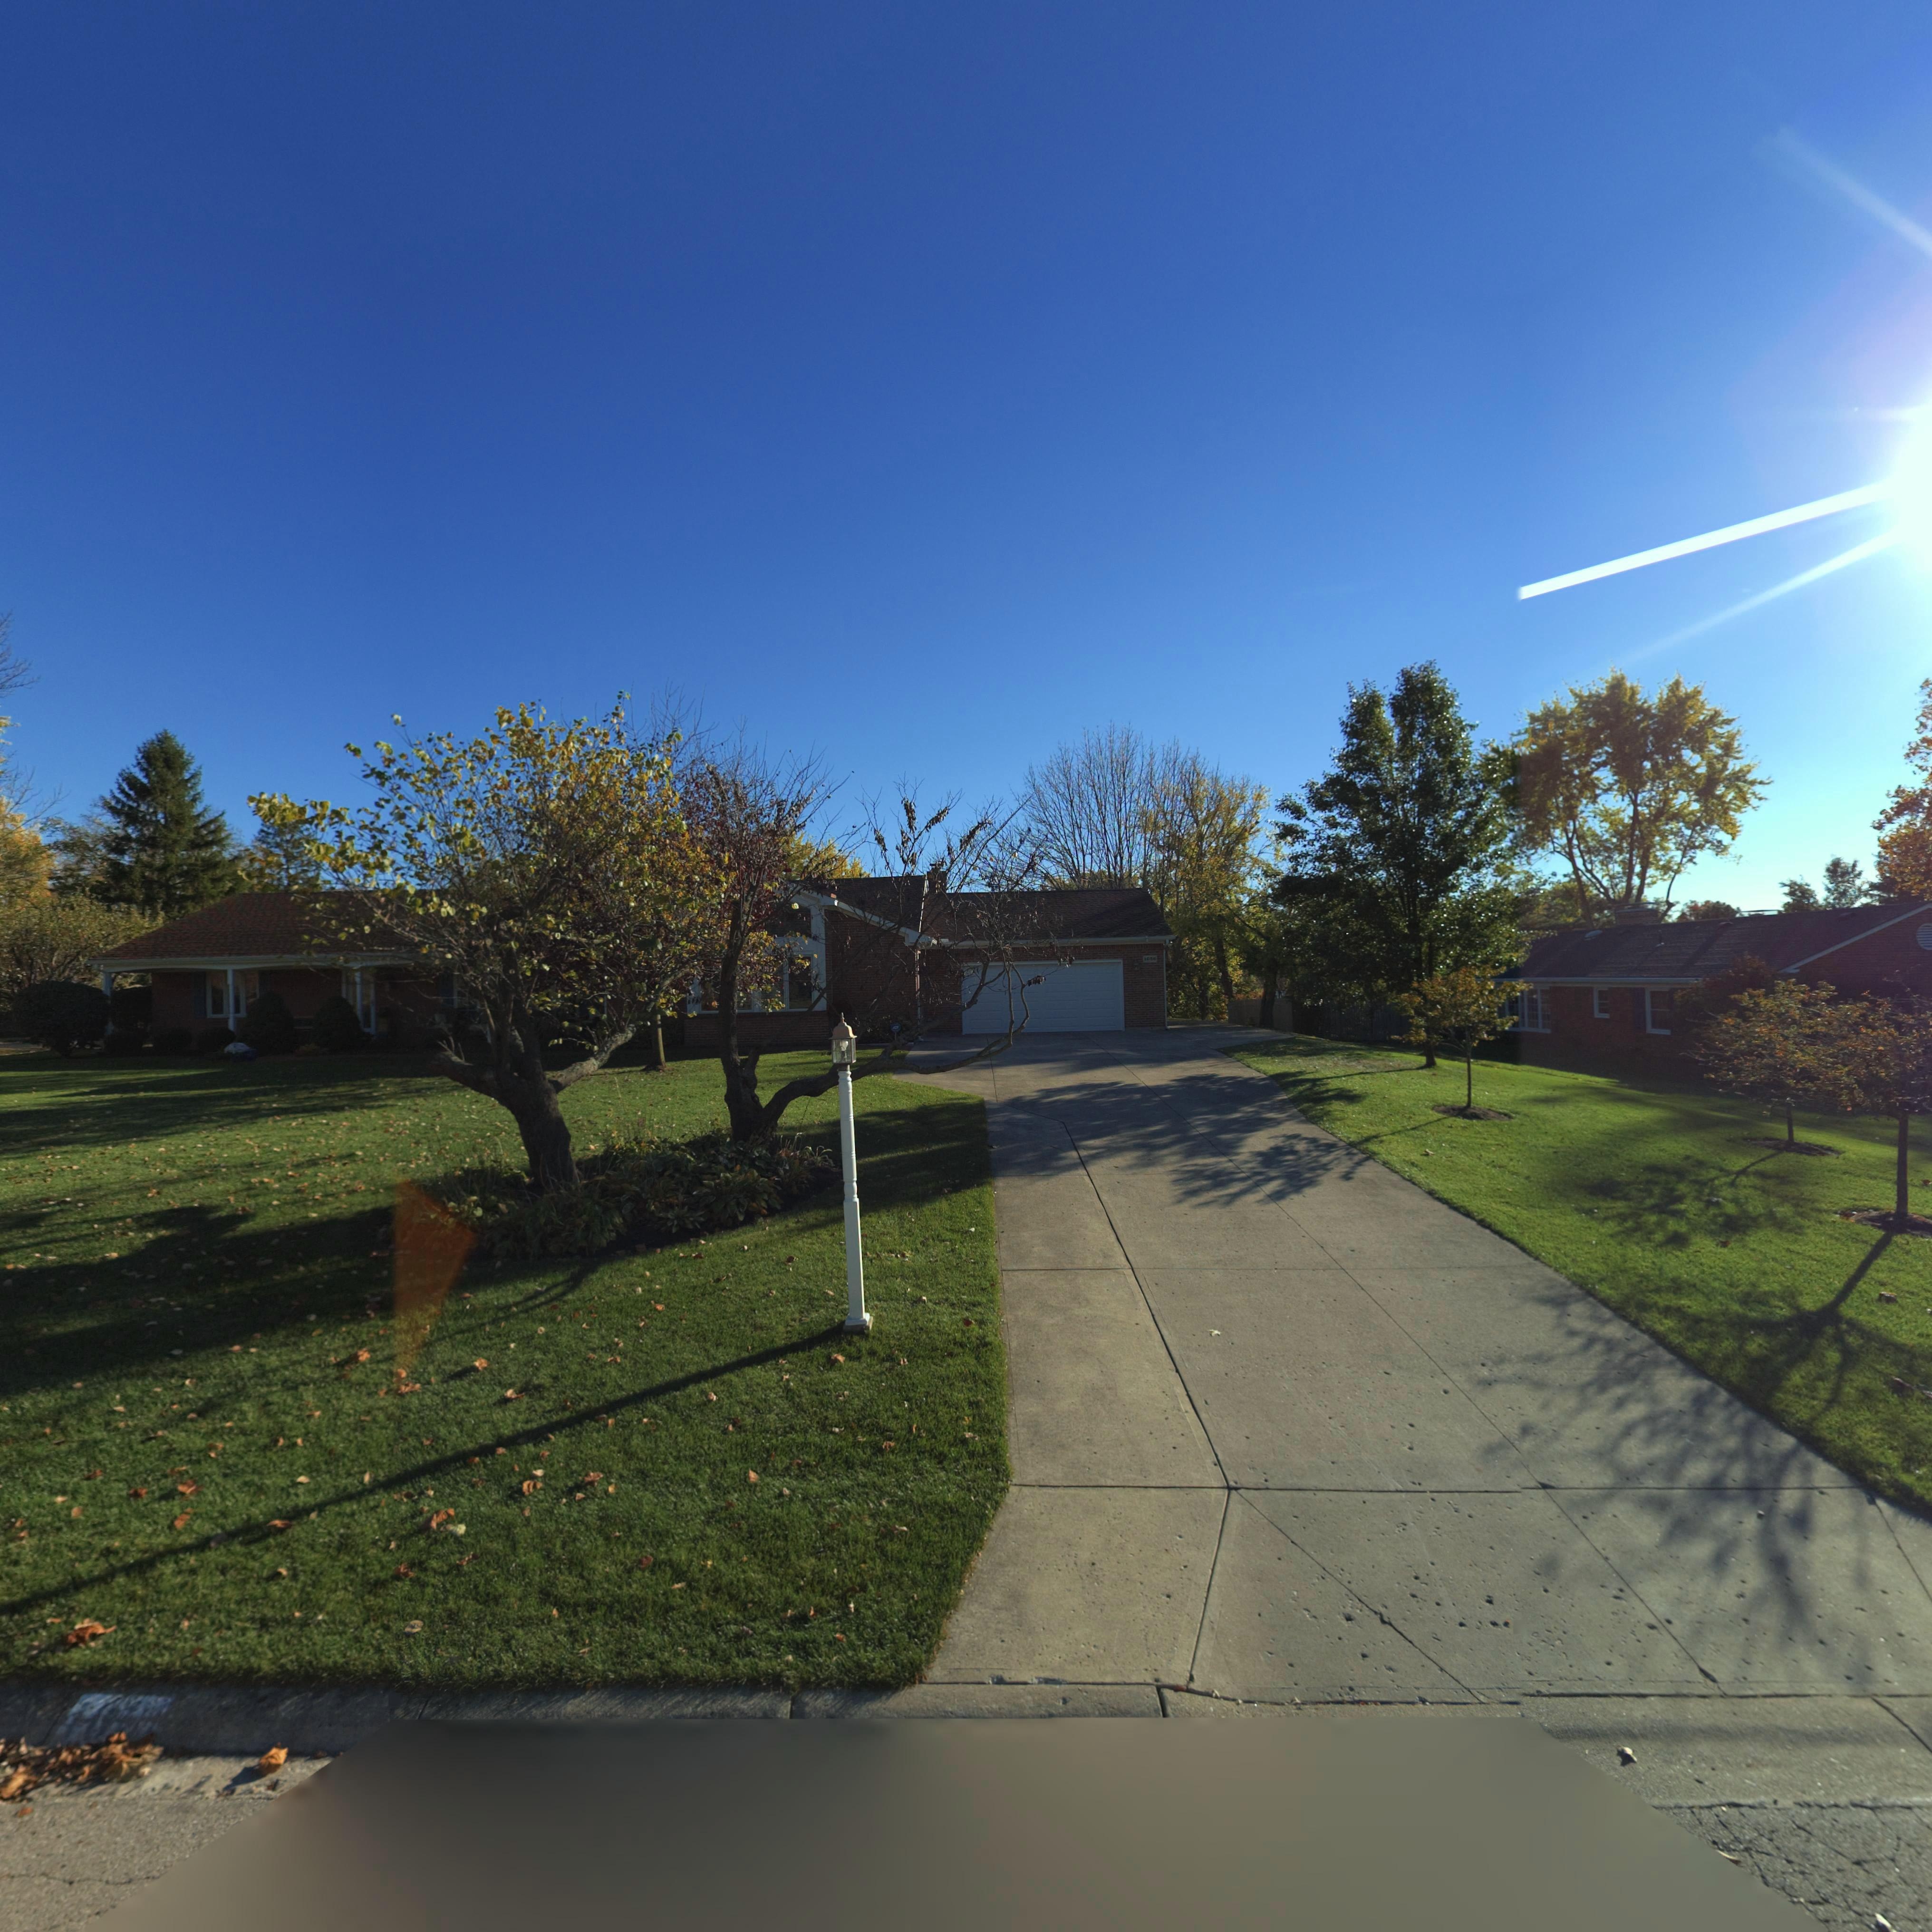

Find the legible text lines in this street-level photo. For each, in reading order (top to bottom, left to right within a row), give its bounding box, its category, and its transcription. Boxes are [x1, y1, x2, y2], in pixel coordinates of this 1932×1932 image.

[1143, 956, 1157, 961] StreetNumber: 10**
[46, 1695, 126, 1748] StreetNumber: 10